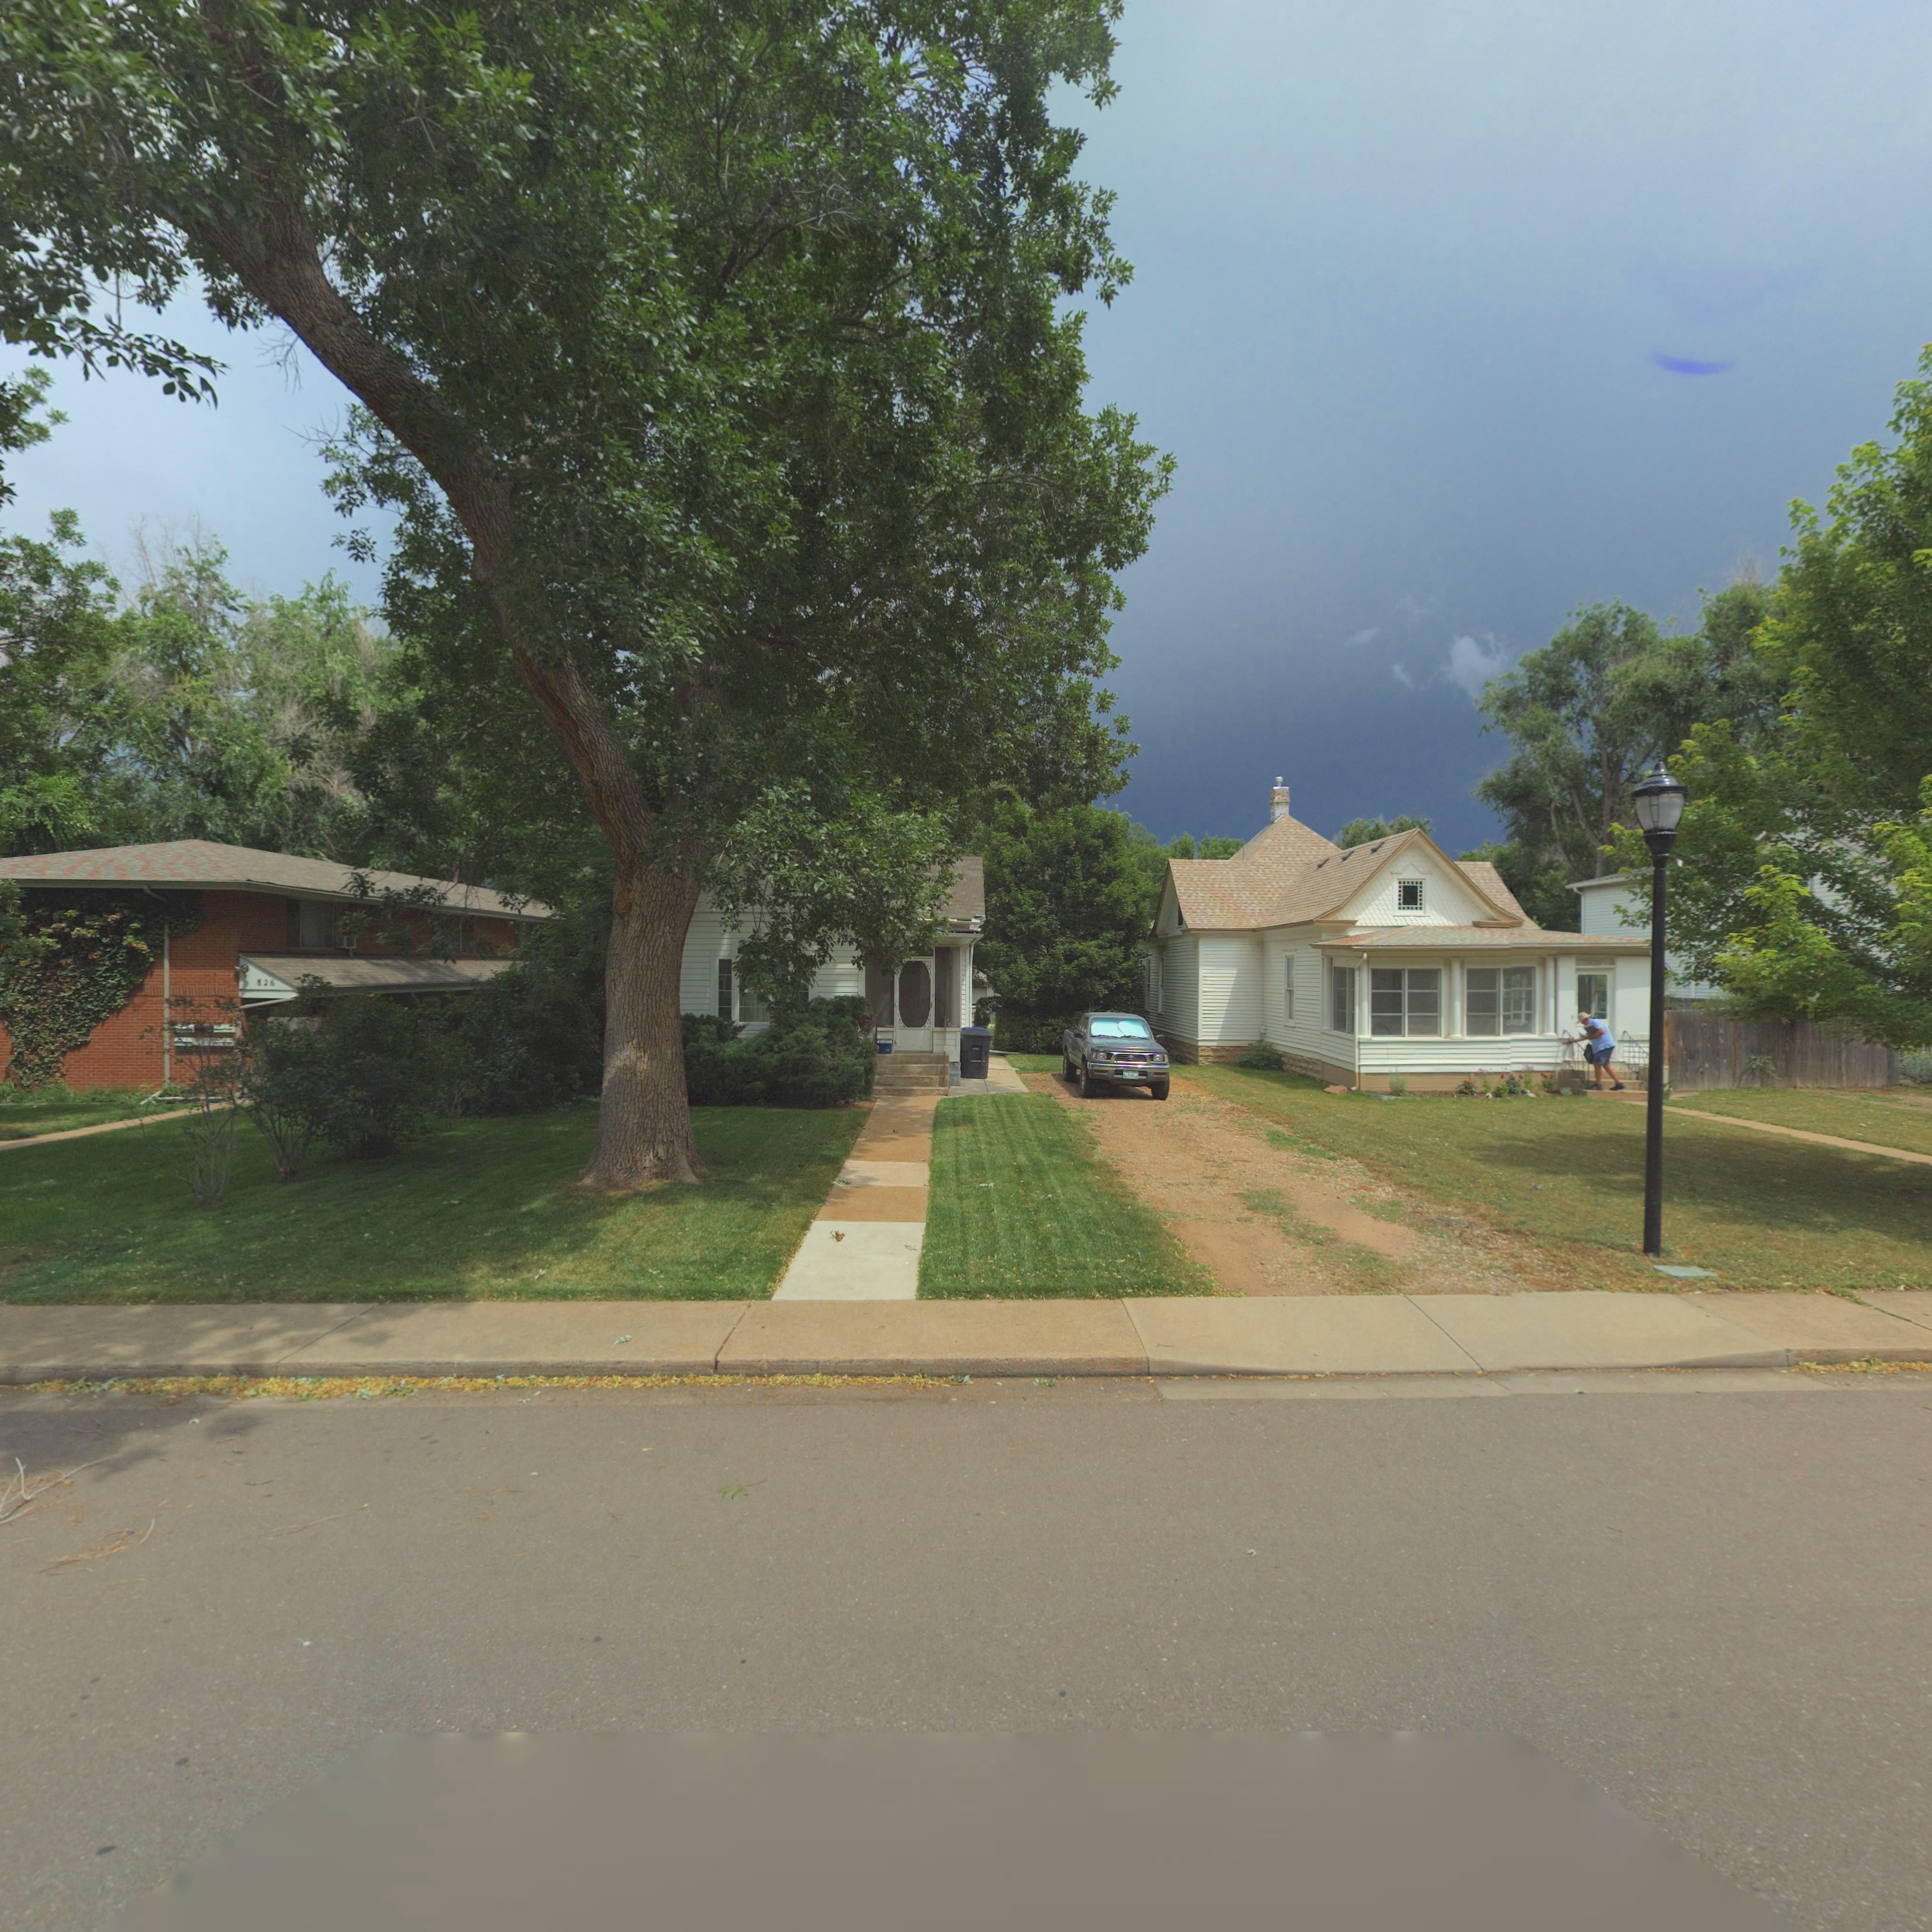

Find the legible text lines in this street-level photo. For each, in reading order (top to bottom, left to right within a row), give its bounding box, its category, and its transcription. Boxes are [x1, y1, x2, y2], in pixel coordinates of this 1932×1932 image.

[256, 978, 275, 986] StreetNumber: 826